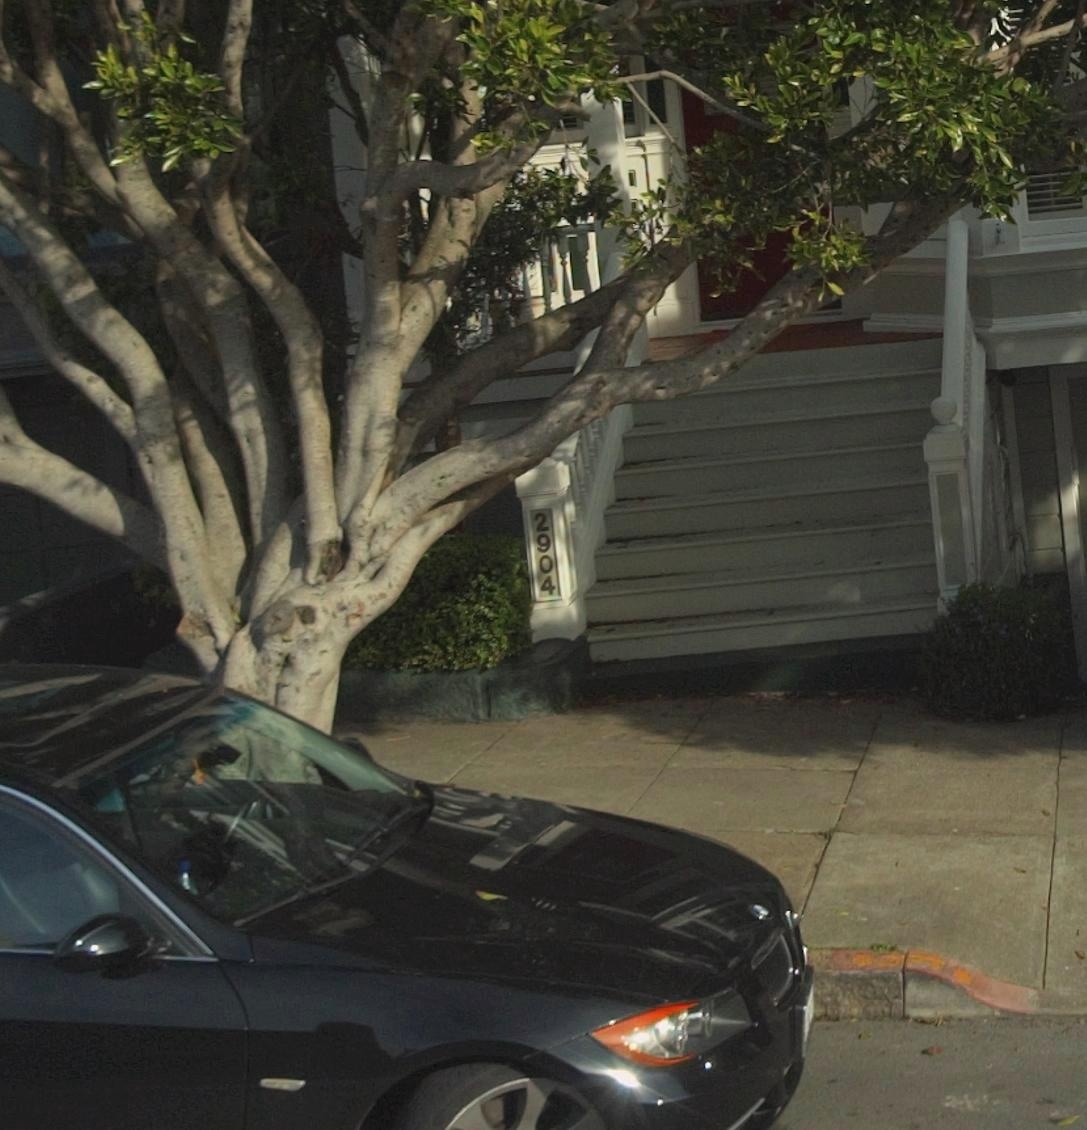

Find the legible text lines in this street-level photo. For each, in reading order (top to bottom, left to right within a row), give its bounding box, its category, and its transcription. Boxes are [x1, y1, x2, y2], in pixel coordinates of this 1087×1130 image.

[530, 508, 560, 601] StreetNumber: 2904